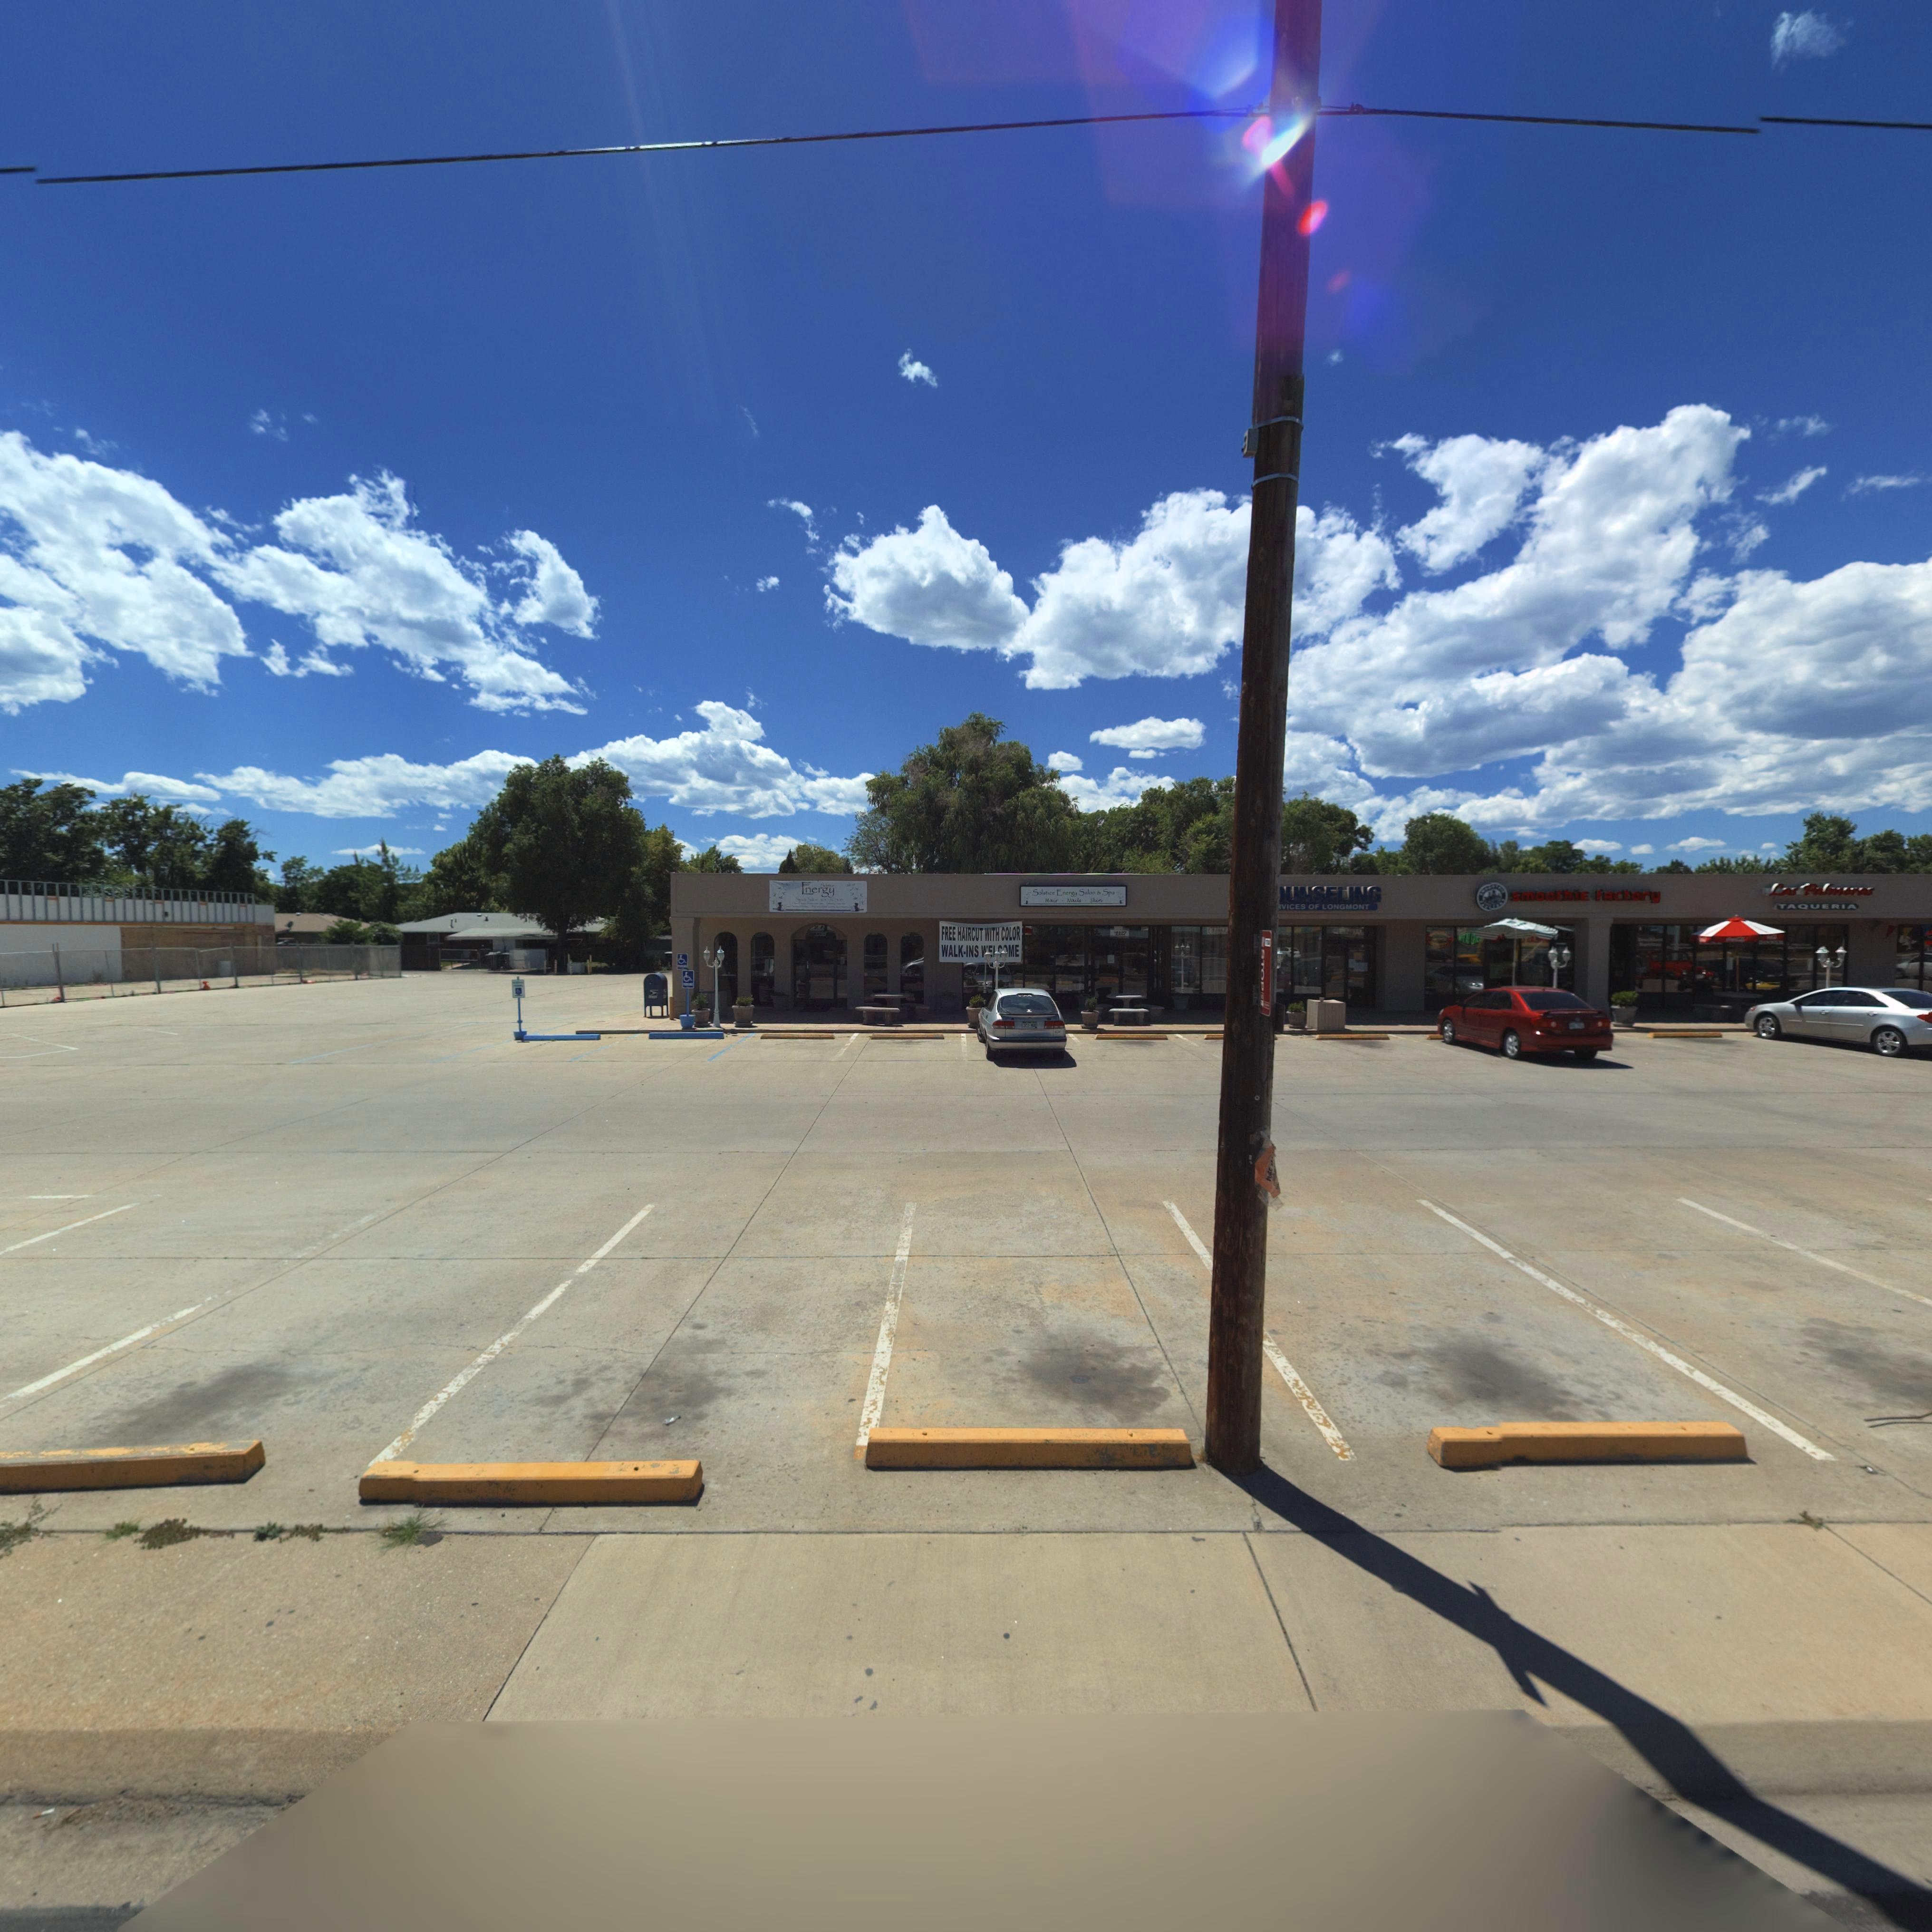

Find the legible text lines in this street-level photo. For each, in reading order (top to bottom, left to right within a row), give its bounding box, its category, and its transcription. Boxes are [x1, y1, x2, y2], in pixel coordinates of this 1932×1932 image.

[795, 897, 818, 902] BusinessName: S***** S*l**
[802, 881, 834, 898] BusinessName: Energy
[1032, 888, 1114, 897] BusinessName: Solstice Energy S*lon & Spa
[1284, 886, 1381, 903] BusinessName: UNSELING
[1512, 889, 1661, 904] BusinessName: smoothiE fActory
[1768, 883, 1875, 896] BusinessName: Las Palm*ras
[1281, 904, 1368, 909] BusinessName: VICES OF LONGMONT
[1115, 931, 1126, 936] StreetNumber: *127